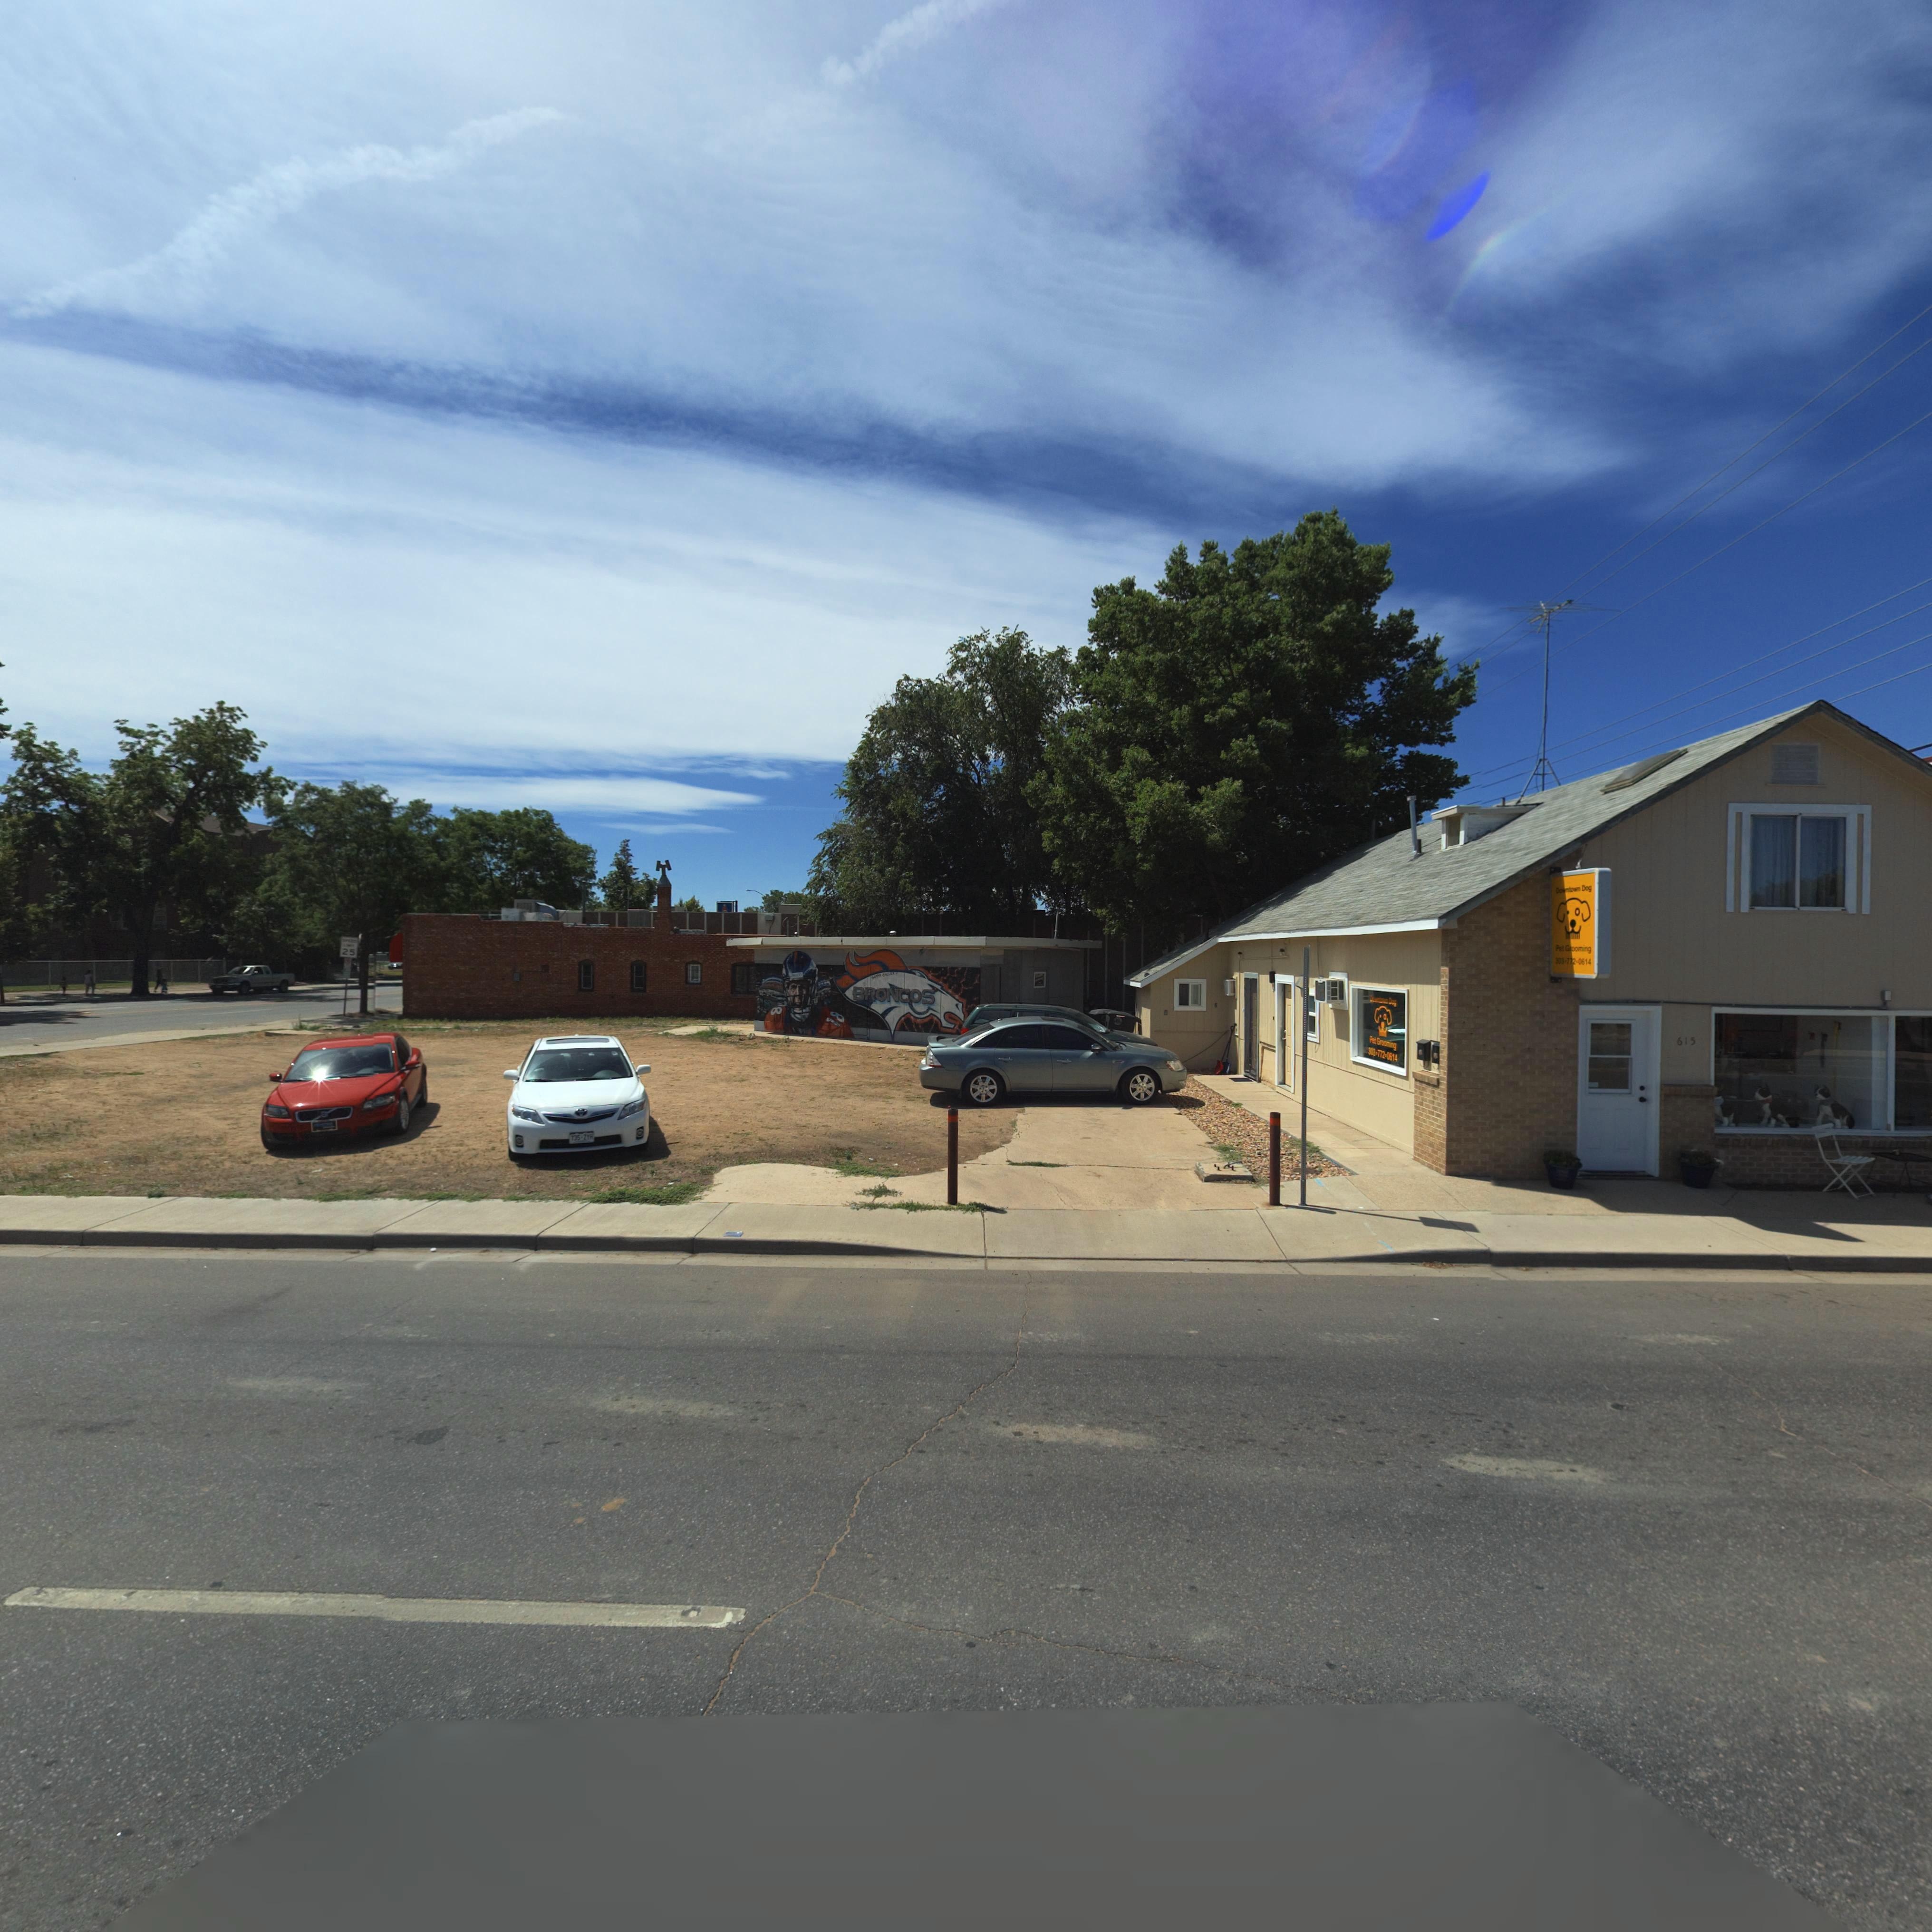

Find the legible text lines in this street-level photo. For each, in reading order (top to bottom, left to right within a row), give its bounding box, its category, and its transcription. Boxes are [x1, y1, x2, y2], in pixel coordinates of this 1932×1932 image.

[1555, 884, 1592, 894] BusinessName: Do***o** Dog
[1555, 944, 1592, 954] BusinessName: P** Groo***g
[1369, 995, 1397, 1007] BusinessName: D******* D*g
[1369, 1035, 1397, 1051] BusinessName: P** Groo***g
[1676, 1035, 1696, 1046] StreetNumber: 615